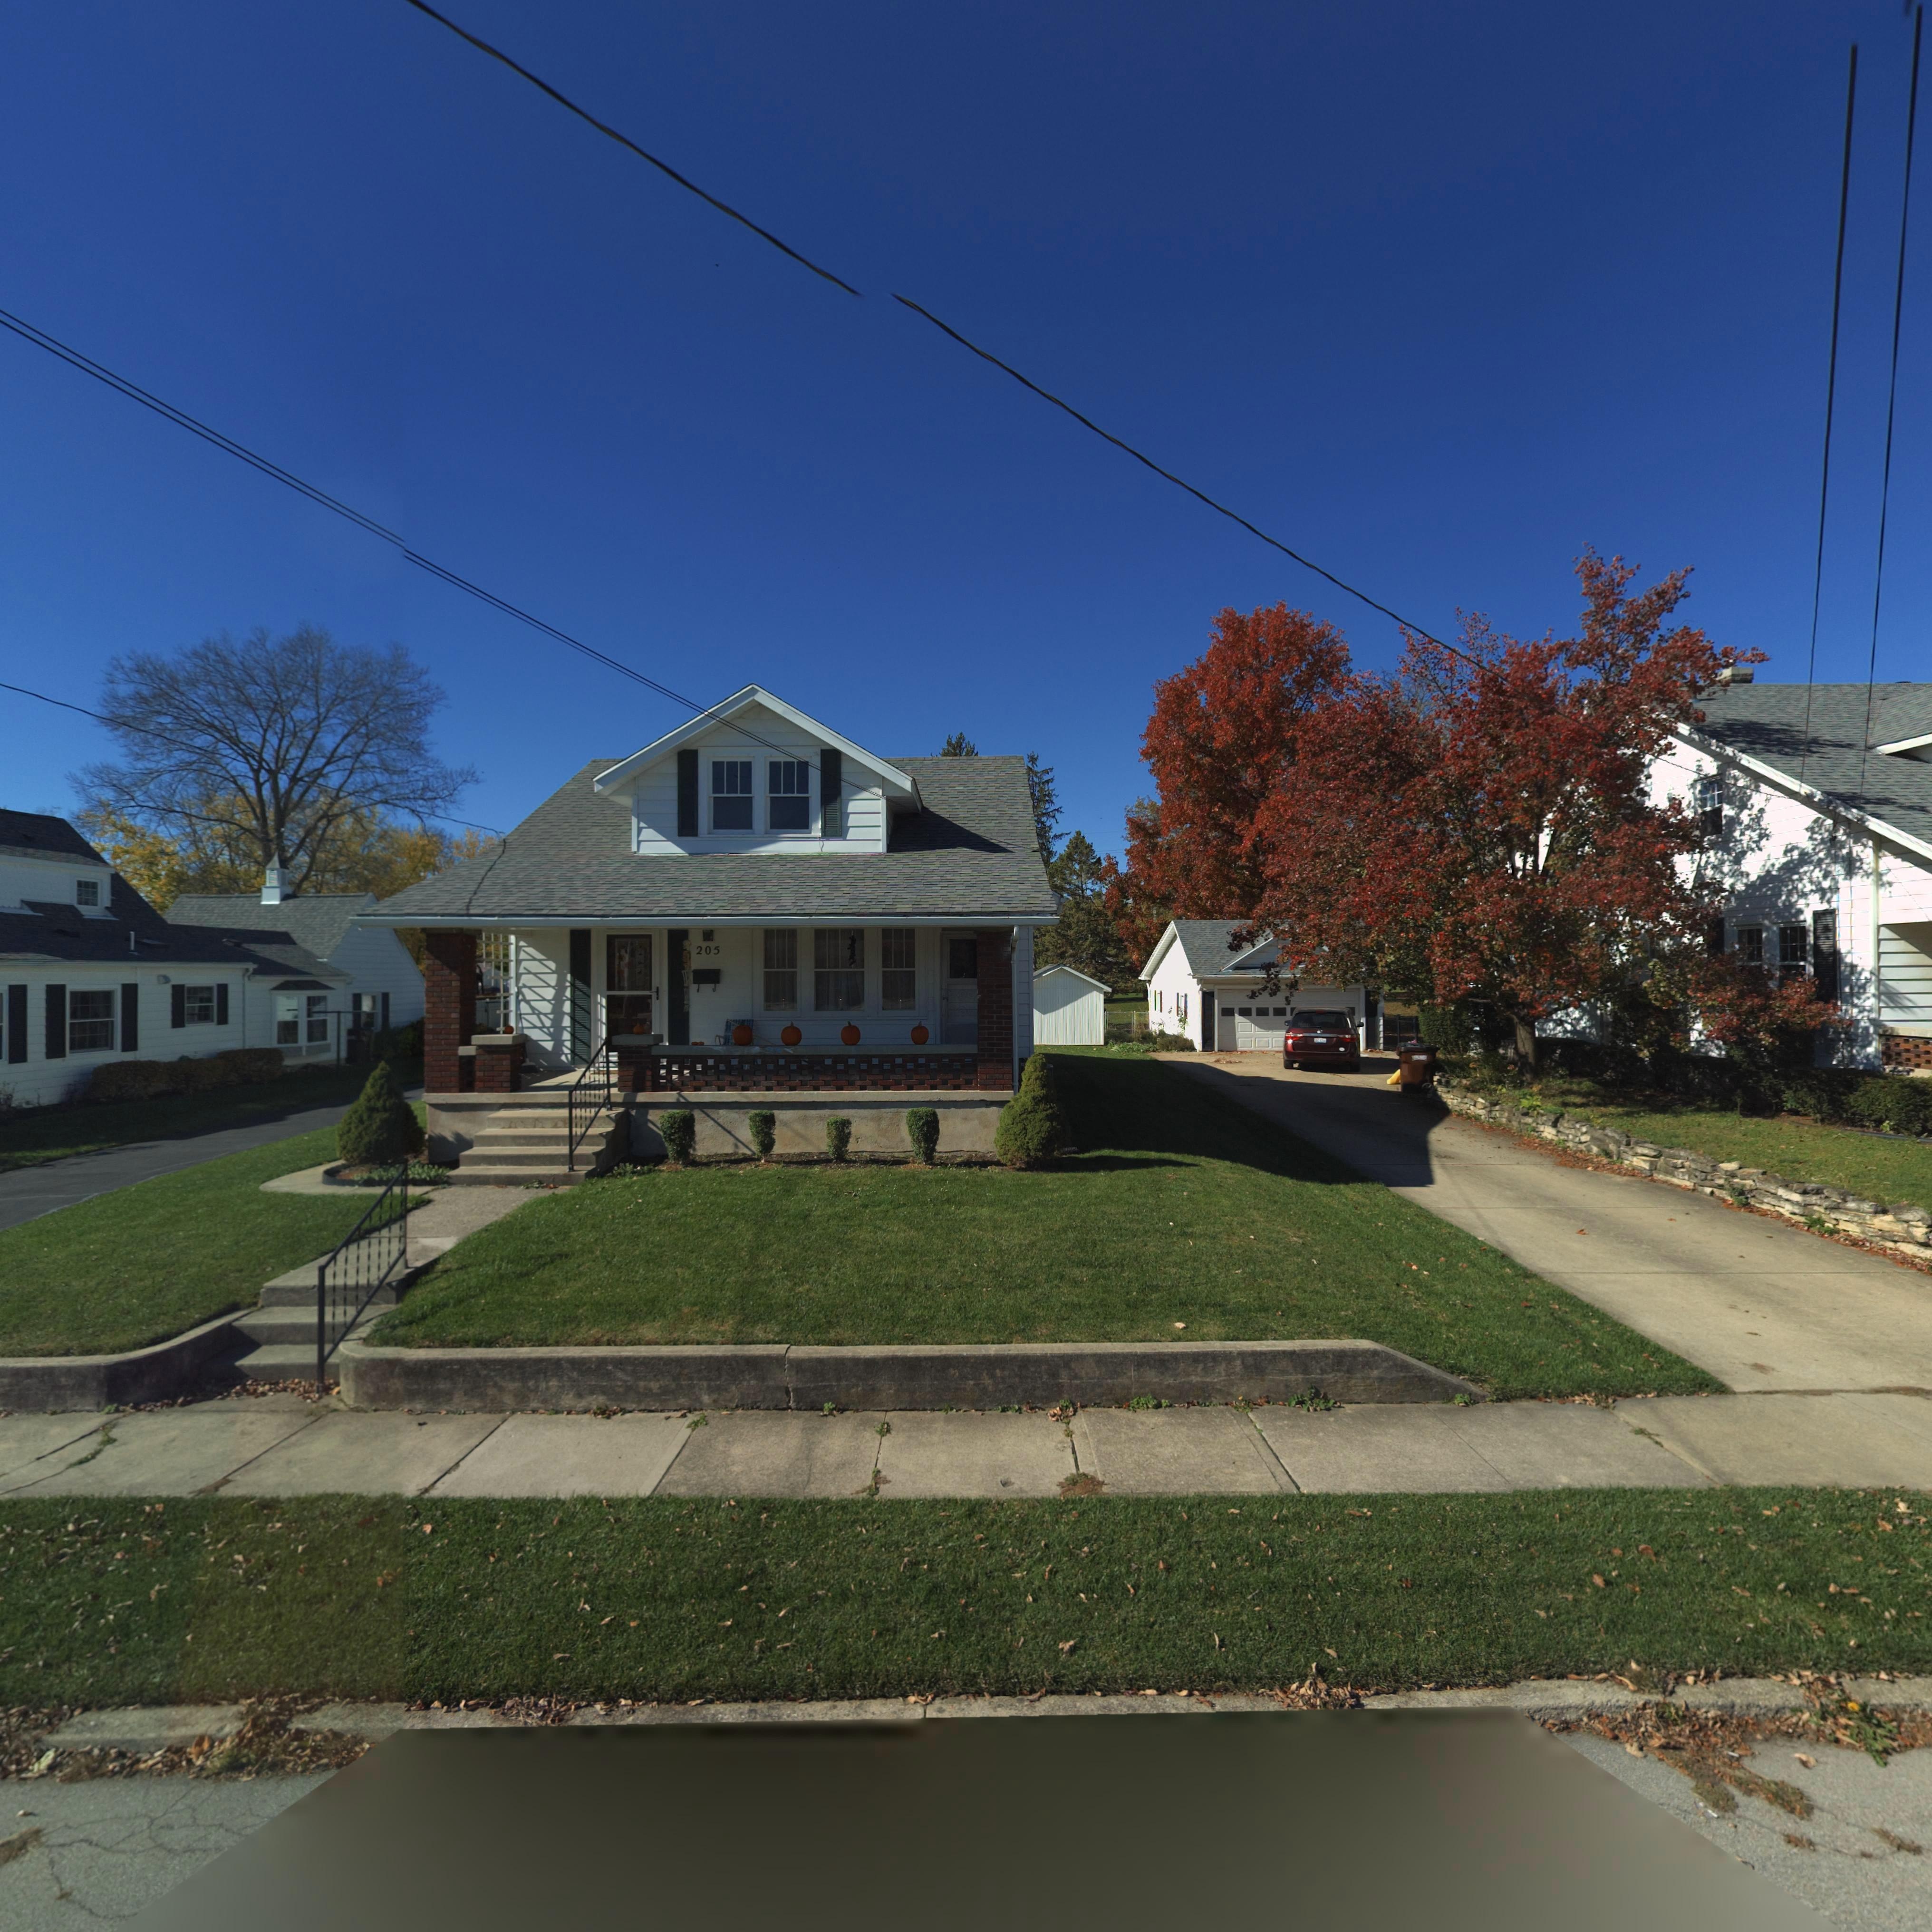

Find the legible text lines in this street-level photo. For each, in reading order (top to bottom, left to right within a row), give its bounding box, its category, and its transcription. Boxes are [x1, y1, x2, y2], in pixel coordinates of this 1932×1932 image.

[696, 945, 720, 955] StreetNumber: 205